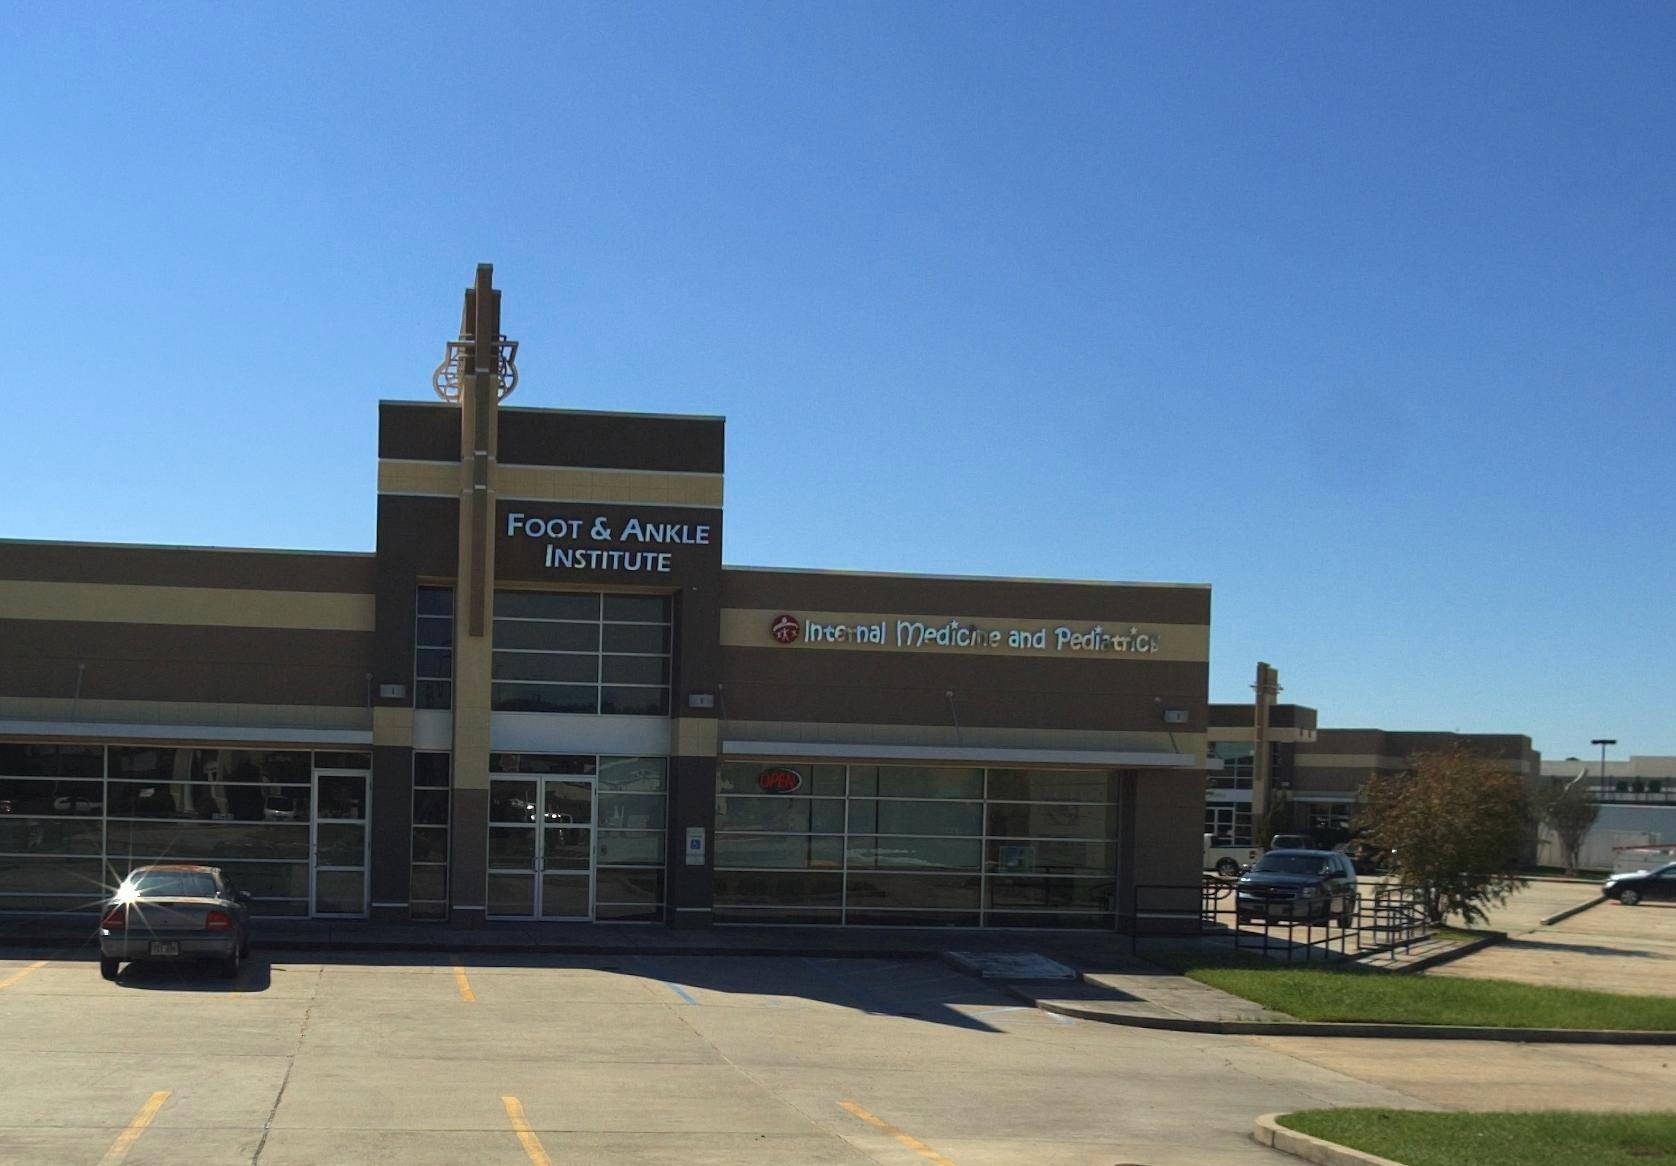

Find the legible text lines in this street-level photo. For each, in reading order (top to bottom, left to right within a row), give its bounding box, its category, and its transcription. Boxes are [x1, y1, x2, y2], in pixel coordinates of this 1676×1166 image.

[505, 510, 713, 548] BusinessName: FOOT & ANKLE
[541, 542, 674, 575] BusinessName: INSTITUTE
[800, 615, 1163, 656] BusinessName: Internal Medicine and Pediatrics 
[755, 769, 799, 792] None: OPEN